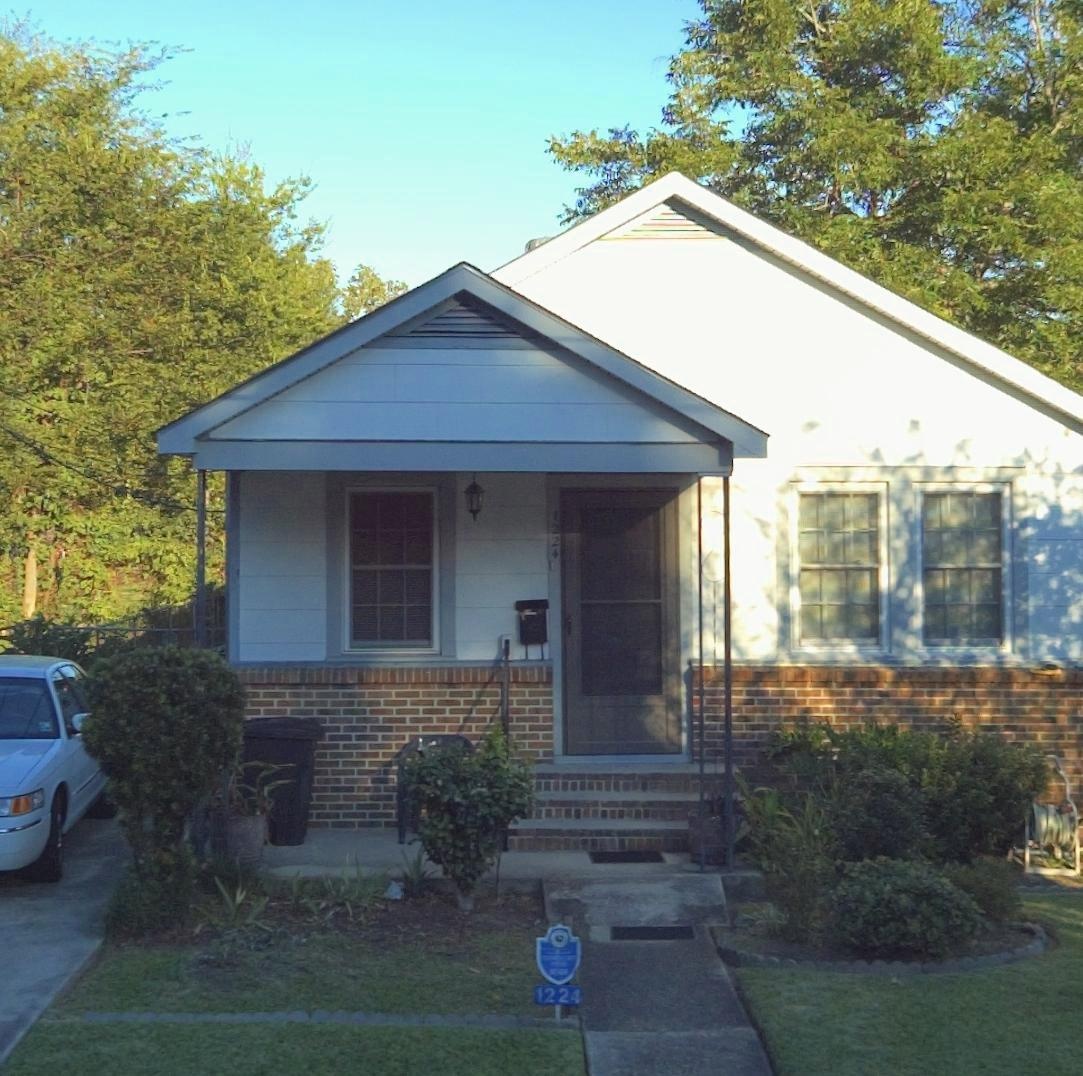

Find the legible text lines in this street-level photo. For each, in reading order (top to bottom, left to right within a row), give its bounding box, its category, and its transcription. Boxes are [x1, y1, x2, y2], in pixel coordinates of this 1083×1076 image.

[549, 507, 562, 561] StreetNumber: 1224
[532, 985, 584, 1005] StreetNumber: 1224